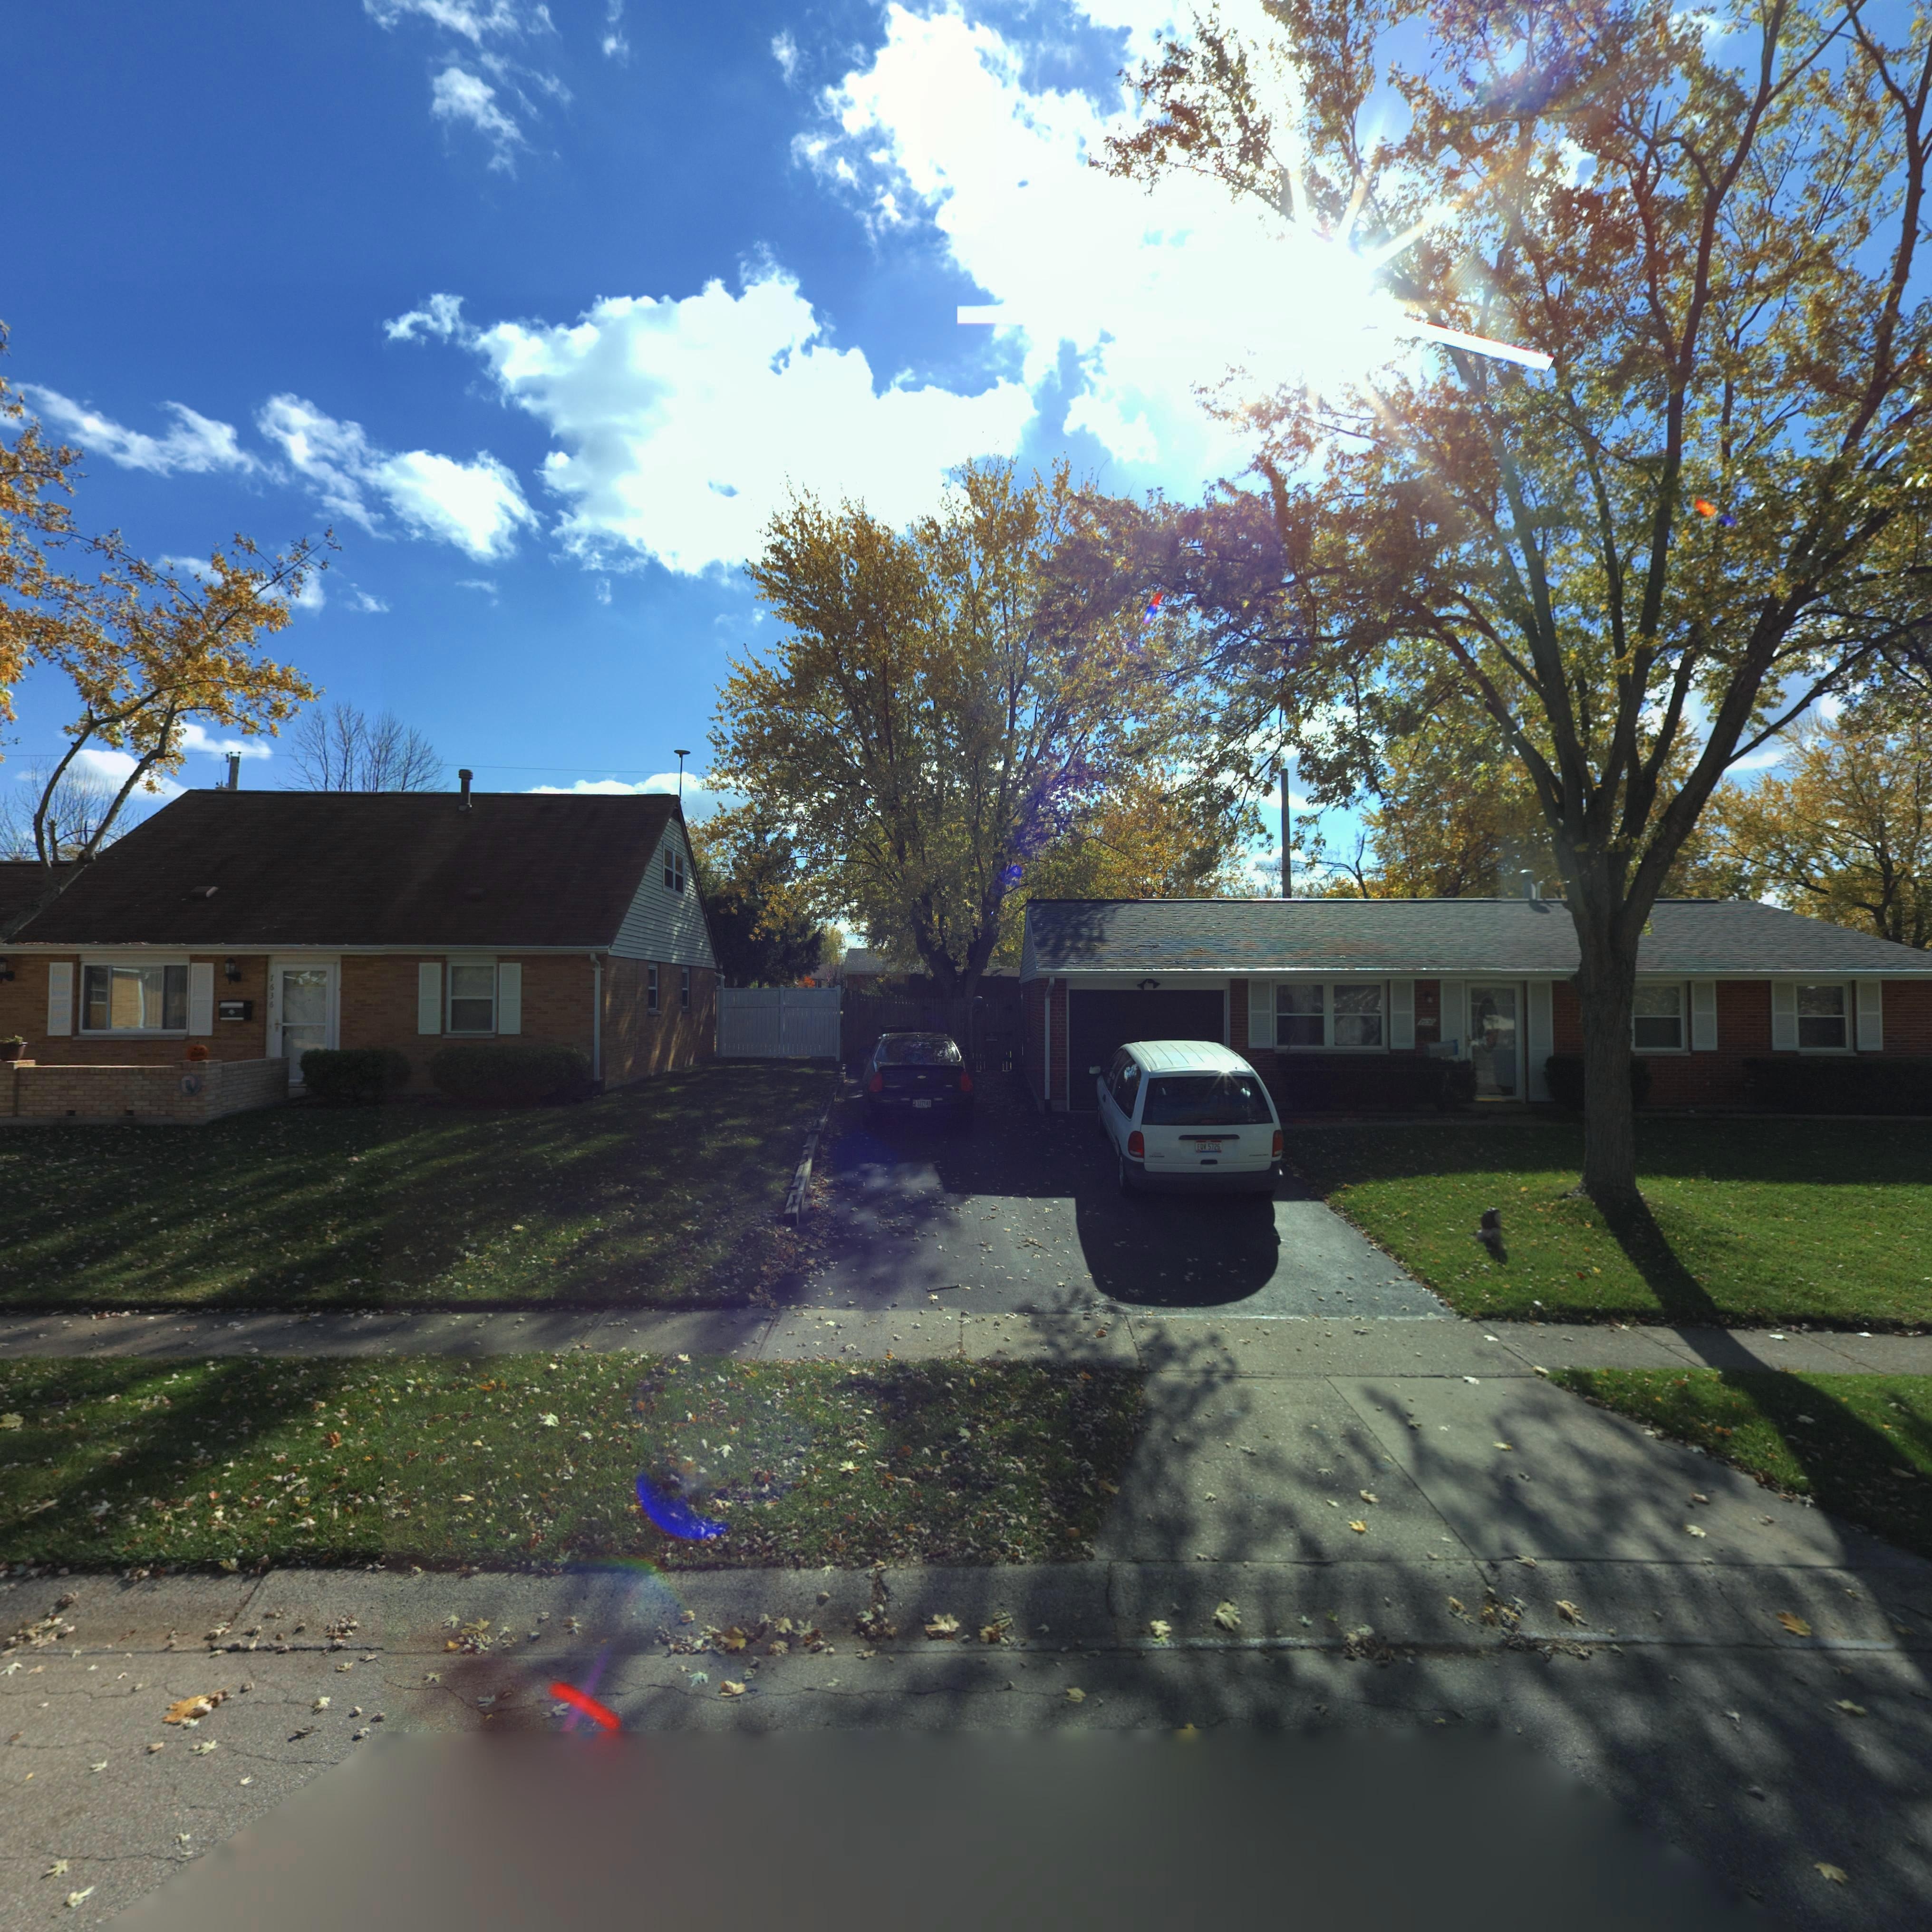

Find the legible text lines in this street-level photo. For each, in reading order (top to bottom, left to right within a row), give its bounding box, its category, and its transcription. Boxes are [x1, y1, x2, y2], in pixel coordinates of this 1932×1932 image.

[269, 974, 274, 1008] StreetNumber: 7636
[1418, 1019, 1437, 1025] StreetNumber: 7630